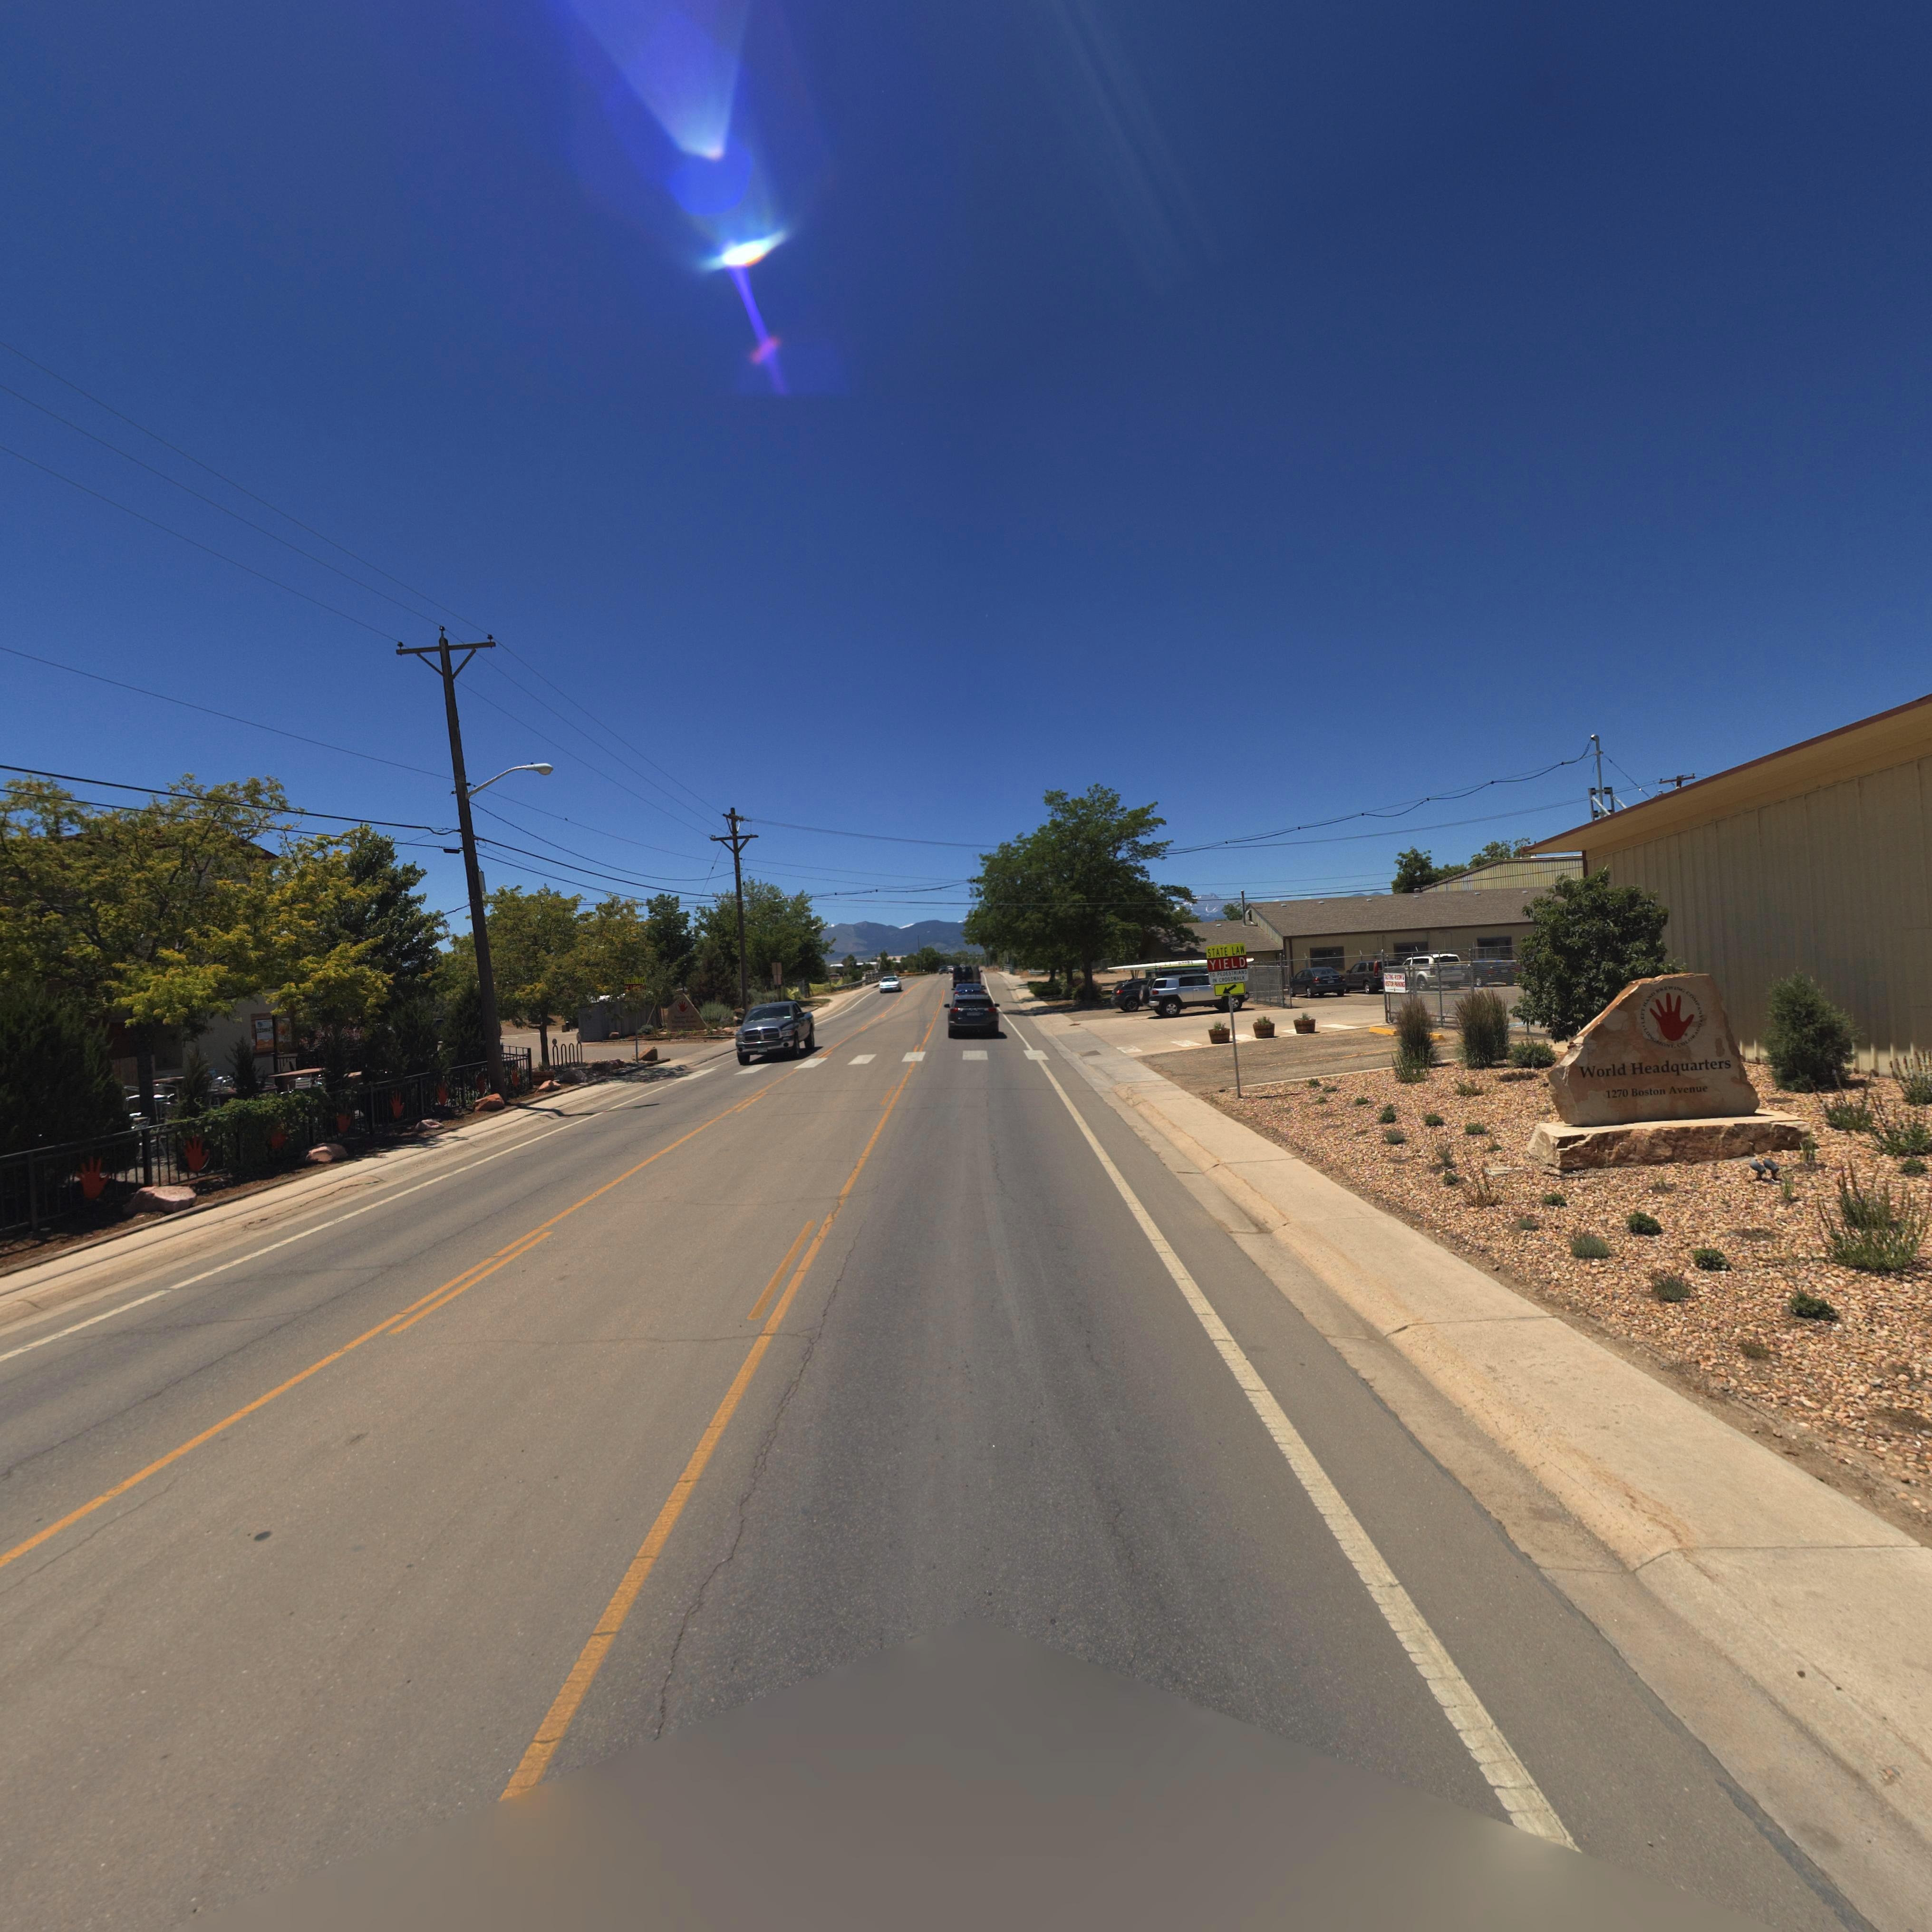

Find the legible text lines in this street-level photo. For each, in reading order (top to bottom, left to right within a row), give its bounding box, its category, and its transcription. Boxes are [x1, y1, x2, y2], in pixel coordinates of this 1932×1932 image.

[1640, 985, 1703, 1024] BusinessName: LEFT HAND BREWING COMPANY
[1604, 1088, 1628, 1099] StreetNumber: 1270
[1631, 1085, 1708, 1097] StreetName: Boston Avenue